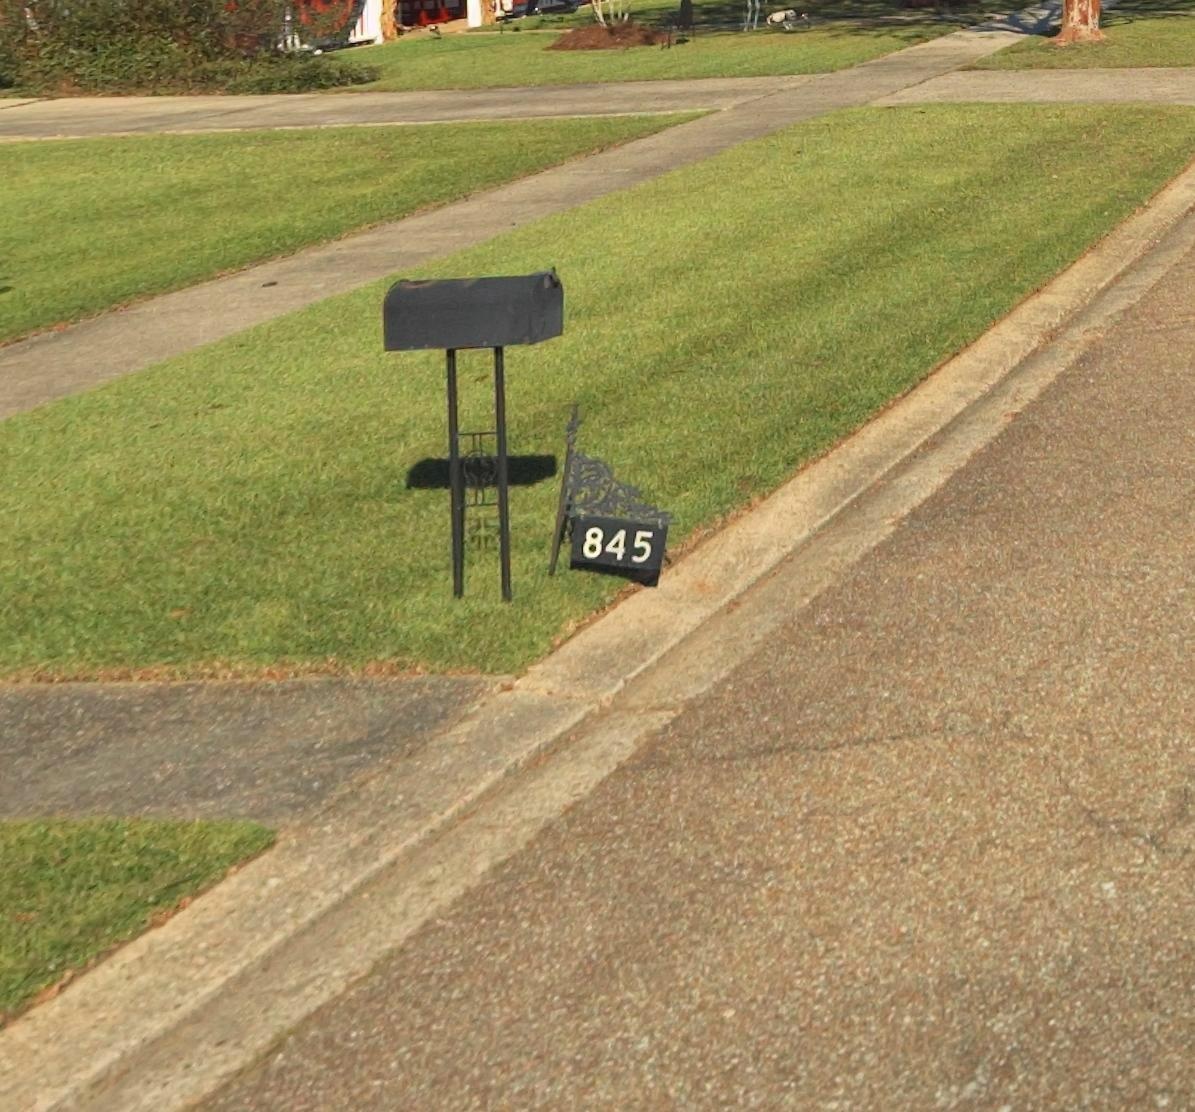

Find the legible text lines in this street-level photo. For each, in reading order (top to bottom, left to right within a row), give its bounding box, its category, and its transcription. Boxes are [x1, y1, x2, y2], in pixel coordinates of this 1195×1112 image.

[579, 524, 655, 566] StreetNumber: 845